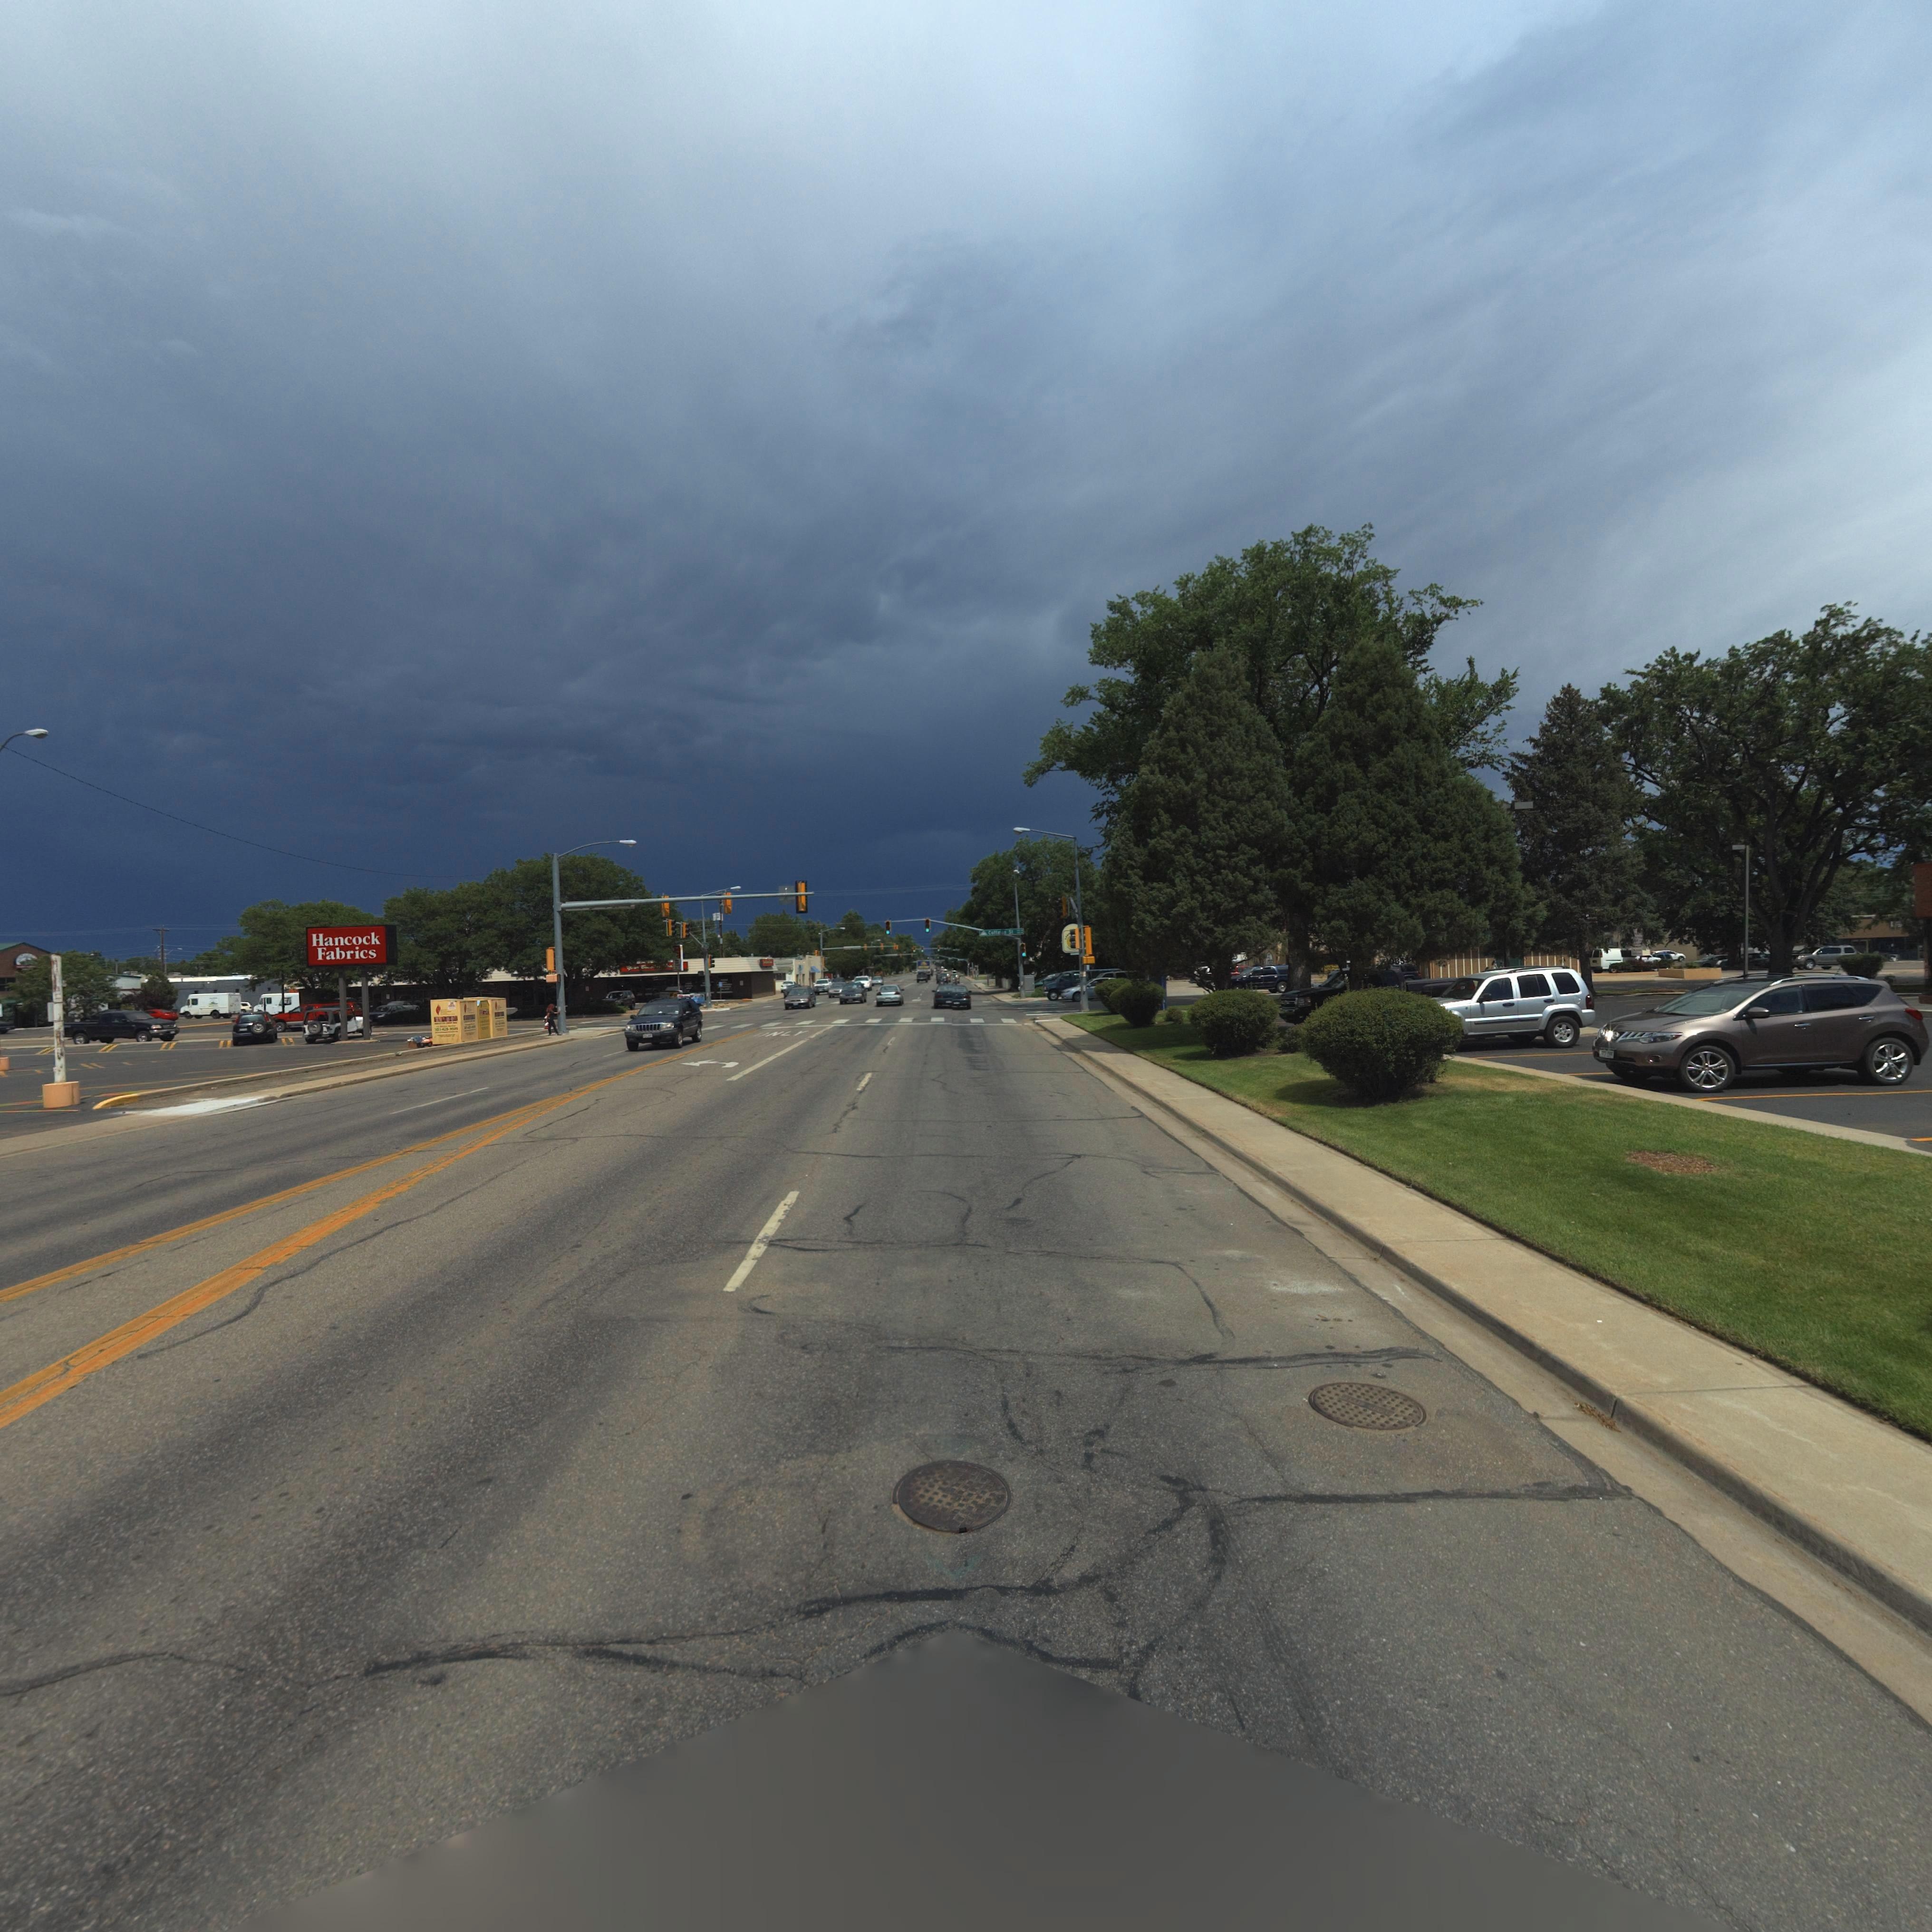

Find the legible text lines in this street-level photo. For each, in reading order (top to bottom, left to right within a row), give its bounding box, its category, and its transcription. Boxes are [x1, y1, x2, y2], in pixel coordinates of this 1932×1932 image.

[312, 931, 380, 946] BusinessName: Hancock
[988, 929, 1013, 935] StreetName: Co***** St
[317, 946, 376, 960] BusinessName: Fabrics